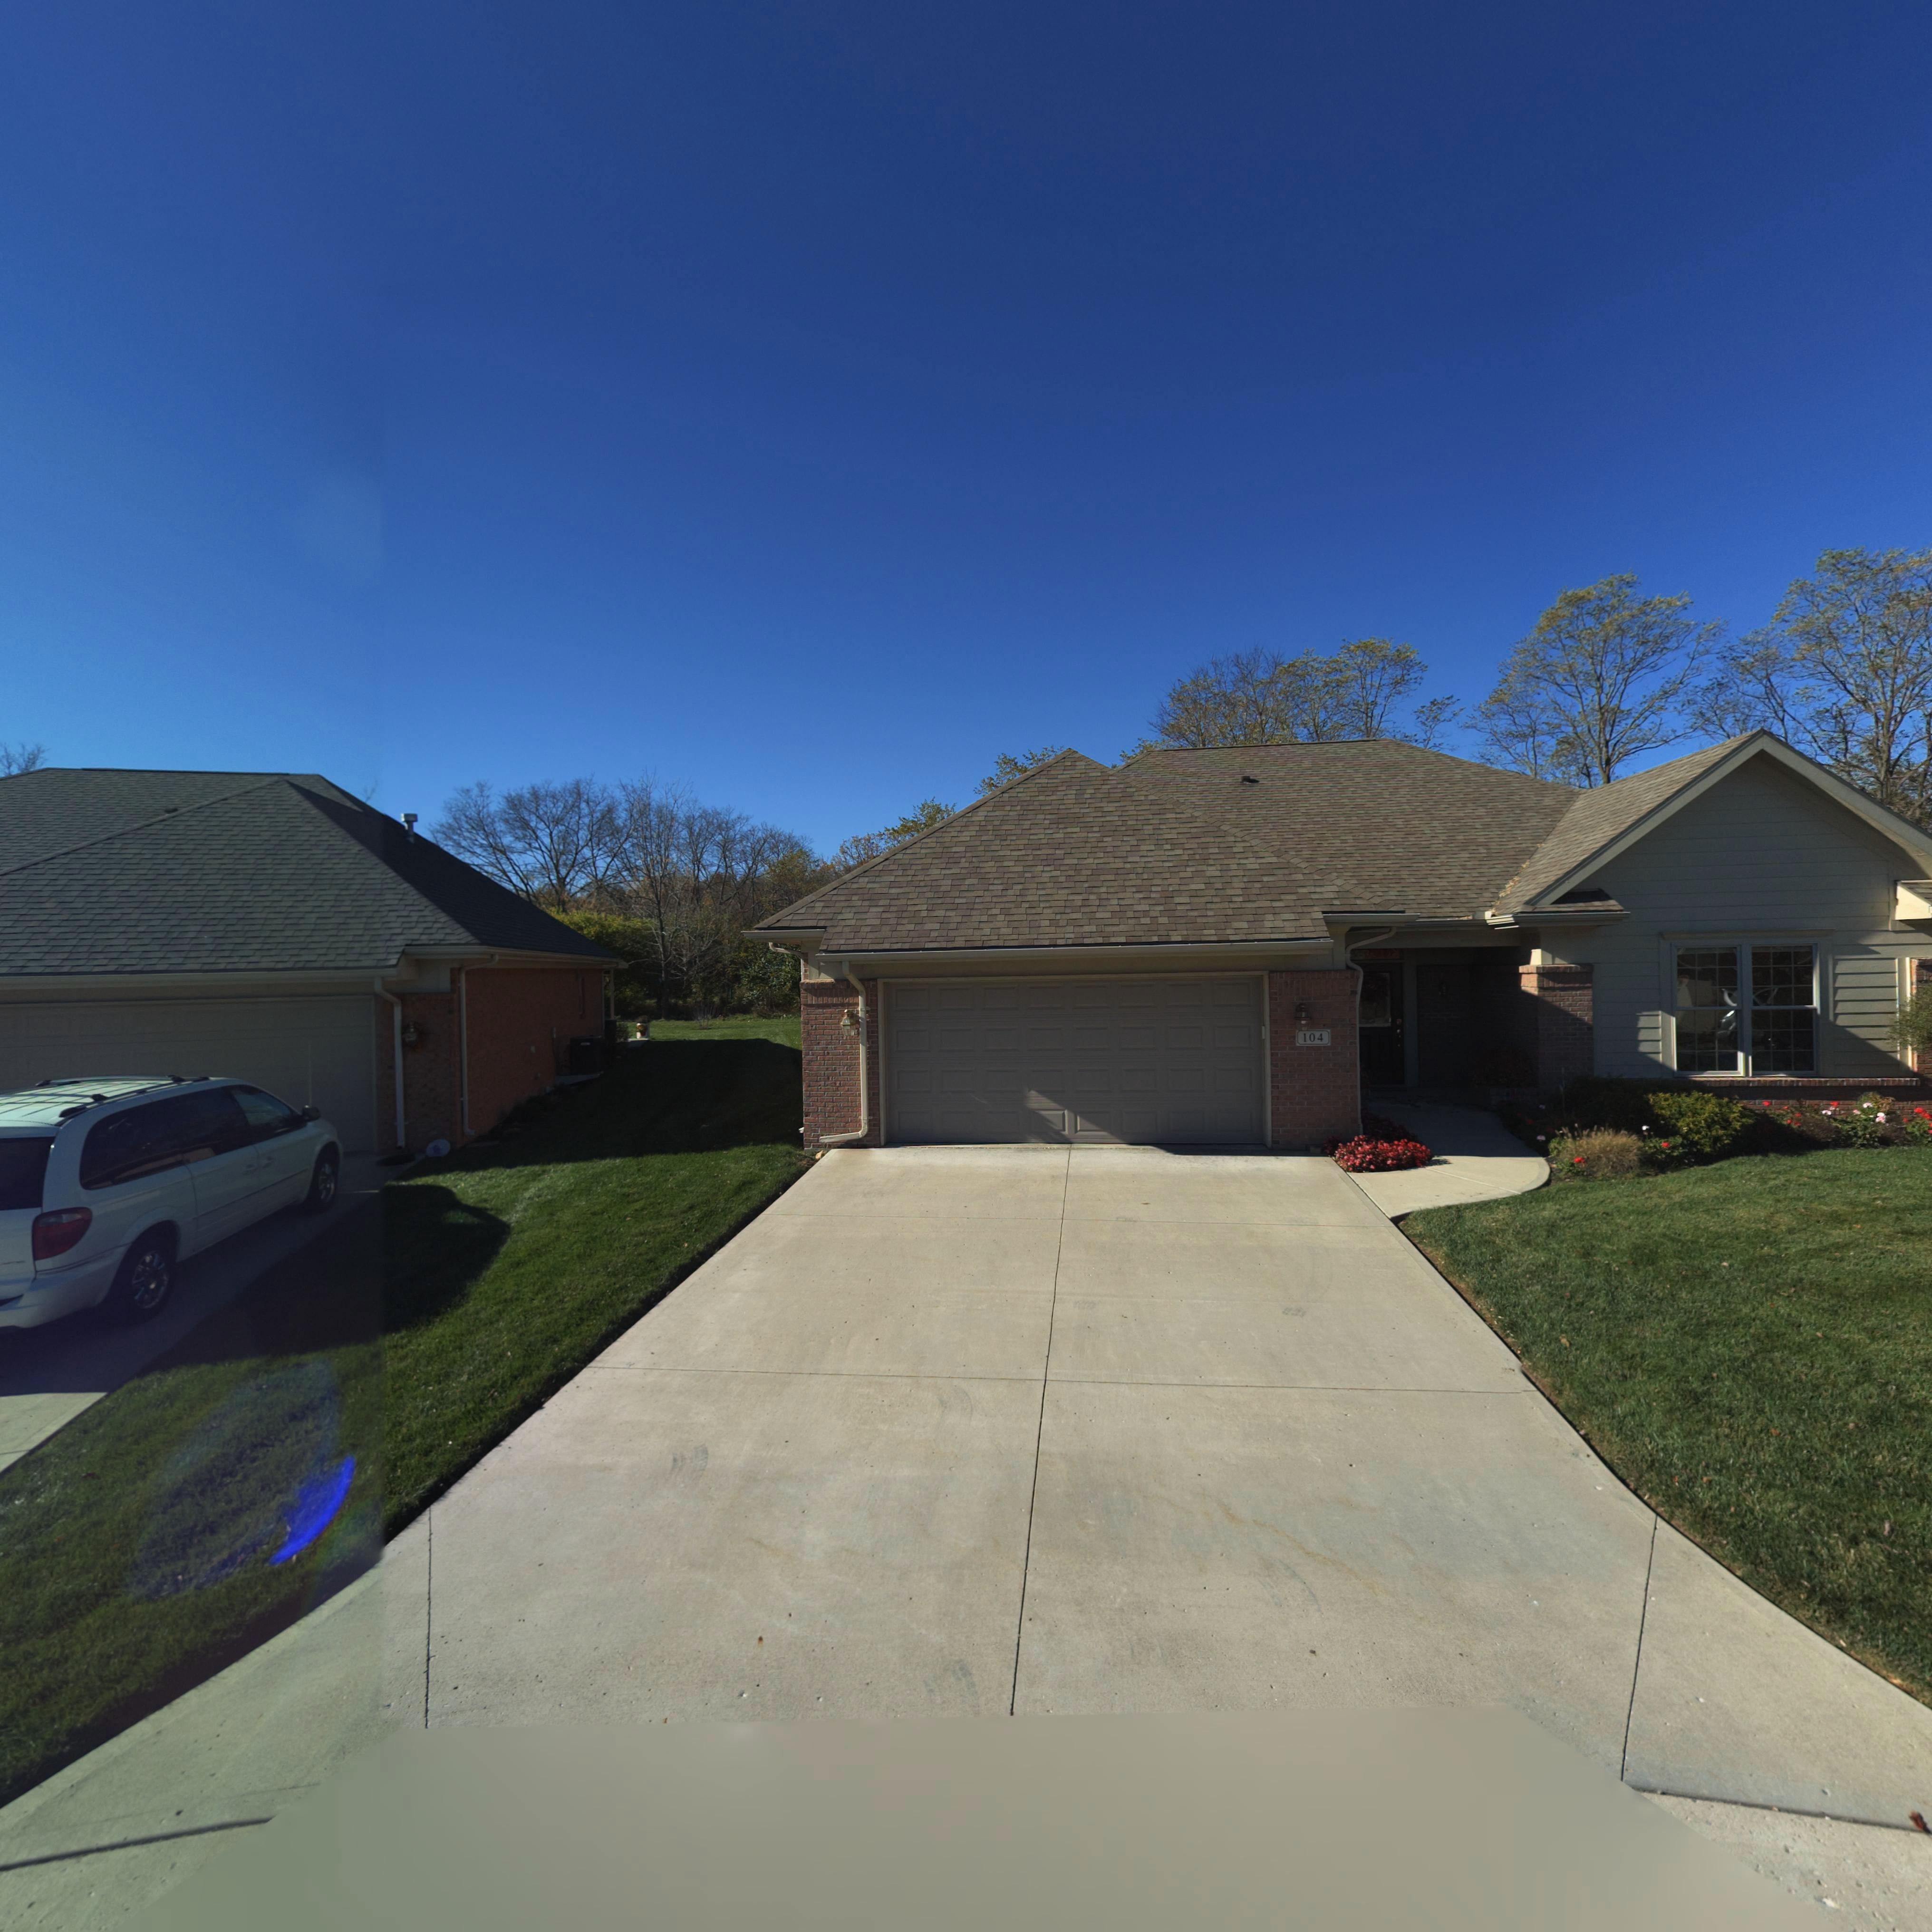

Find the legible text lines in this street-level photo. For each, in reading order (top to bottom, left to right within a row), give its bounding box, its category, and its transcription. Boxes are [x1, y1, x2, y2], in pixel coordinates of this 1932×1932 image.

[1303, 1032, 1324, 1043] StreetNumber: 104